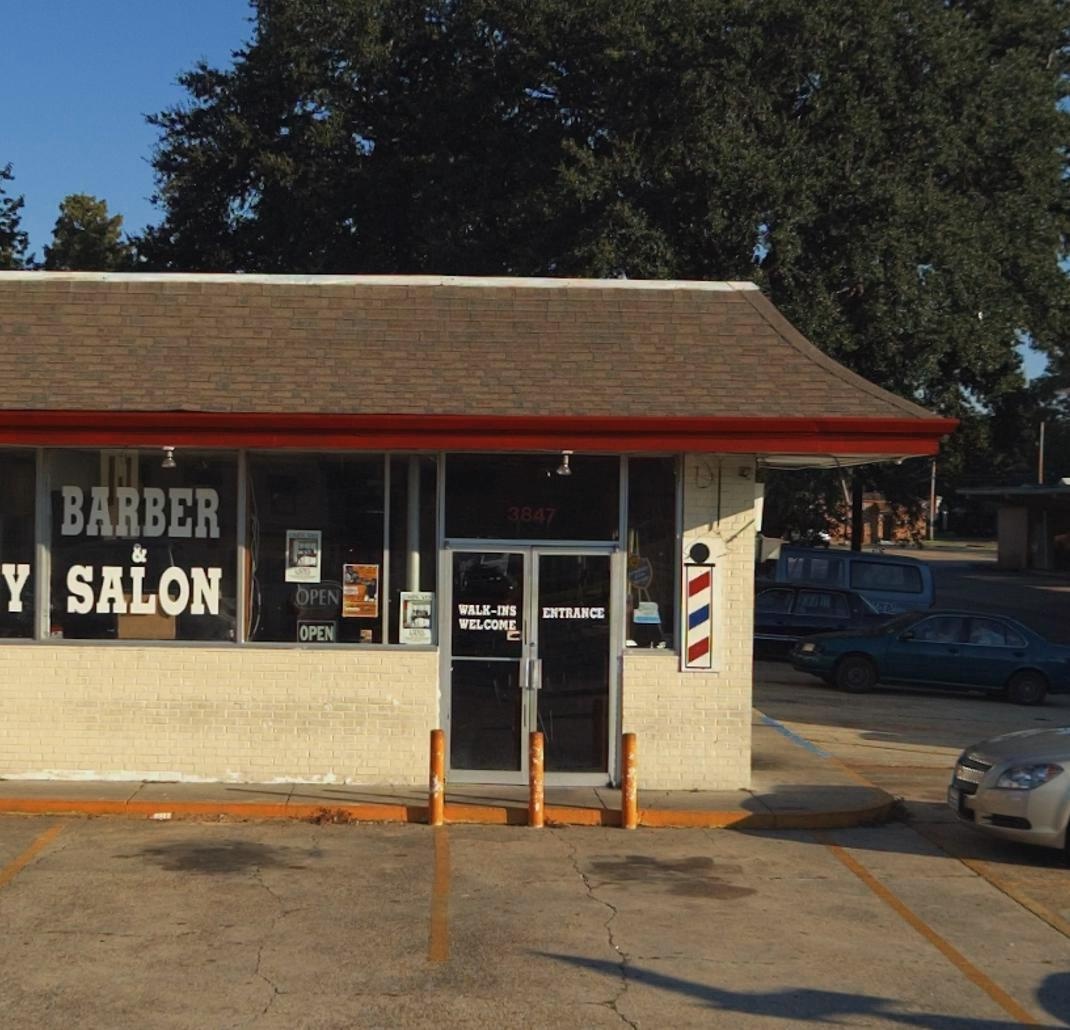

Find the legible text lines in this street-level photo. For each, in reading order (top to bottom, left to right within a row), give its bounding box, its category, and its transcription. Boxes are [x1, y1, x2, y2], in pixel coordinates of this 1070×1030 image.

[56, 480, 225, 543] None: BARBER
[504, 503, 559, 527] StreetNumber: 3847
[122, 540, 154, 565] None: &
[0, 558, 35, 615] None: Y
[62, 559, 225, 620] None: SALON
[295, 620, 335, 642] None: OPEN
[294, 586, 341, 609] None: OPEN
[455, 616, 517, 634] None: WELCOME
[456, 600, 517, 617] None: WALK INS
[540, 602, 606, 625] None: ENTRANCE